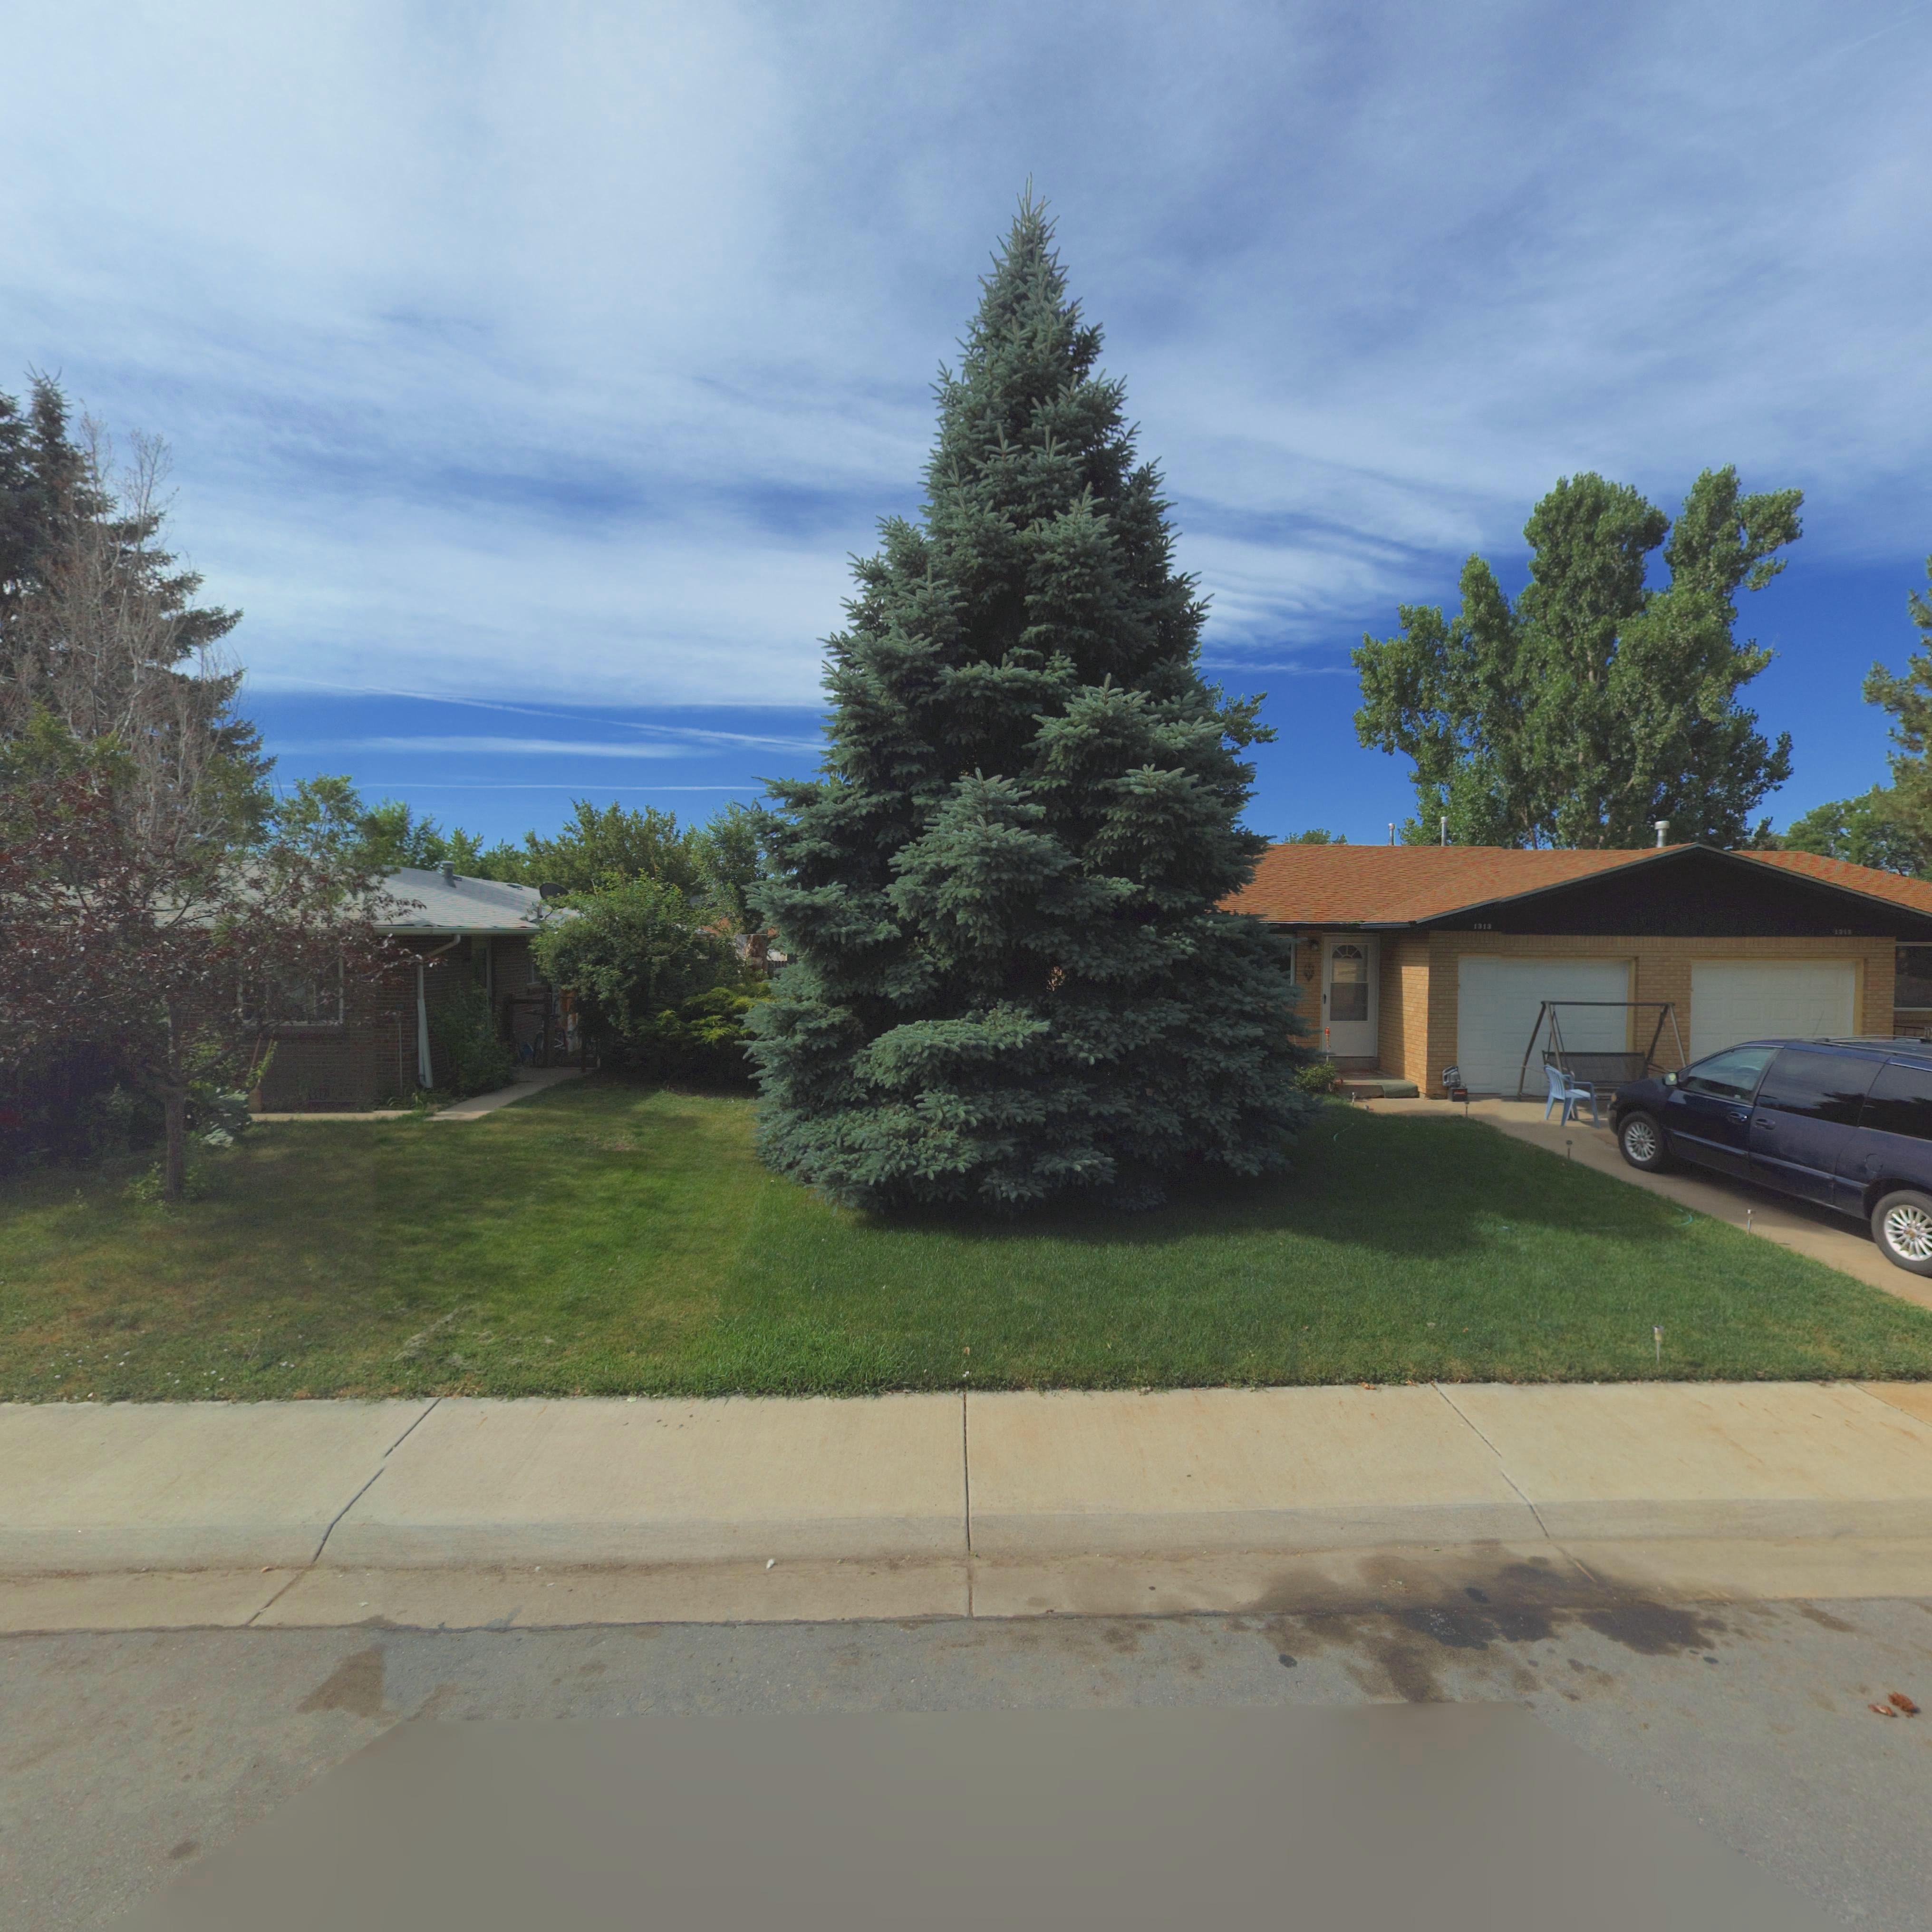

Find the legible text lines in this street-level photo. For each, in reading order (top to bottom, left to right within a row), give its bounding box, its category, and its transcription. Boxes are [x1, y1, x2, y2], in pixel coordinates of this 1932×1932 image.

[1473, 923, 1491, 929] StreetNumber: 1313
[1834, 929, 1851, 935] StreetNumber: 1315